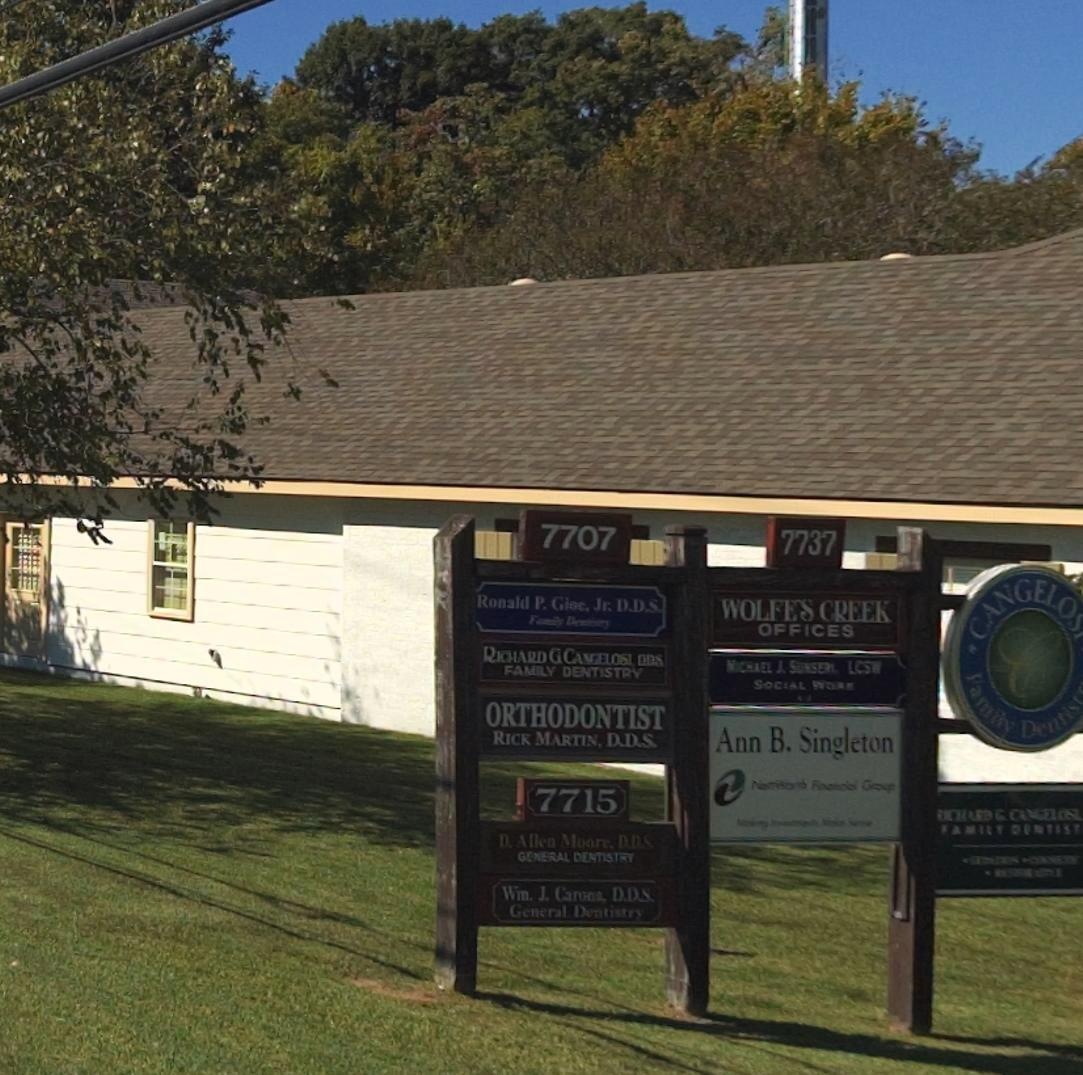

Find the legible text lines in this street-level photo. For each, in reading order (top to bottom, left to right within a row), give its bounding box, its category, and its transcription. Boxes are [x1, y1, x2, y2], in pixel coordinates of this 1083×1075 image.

[537, 520, 623, 554] StreetNumber: 7707
[777, 526, 842, 560] StreetNumber: 7737
[526, 612, 614, 632] BusinessName: Family Dent*****y
[476, 591, 666, 617] BusinessName: Ronald P. Gloe, Jr. D.D.S.
[716, 594, 895, 626] BusinessName: WOLFes CREEk
[756, 620, 856, 641] BusinessName: OFFICES
[963, 573, 1083, 645] BusinessName: CANGELO
[481, 643, 666, 669] BusinessName: RICHARD G CAM*ELOS* DDS
[501, 661, 647, 682] BusinessName: FAMILY DENTISTRY
[723, 656, 884, 677] BusinessName: MI*CHAEL J. SUNSER* LCSM
[751, 676, 857, 692] BusinessName: SOCIAL WORK
[483, 698, 669, 736] BusinessName: ORTHODONTIST
[963, 668, 1082, 745] BusinessName: Family Dentis
[491, 727, 662, 751] BusinessName: RICK MARTIN D.D.S.
[712, 722, 897, 764] BusinessName: Ann B. Singleton
[535, 785, 622, 817] StreetNumber: 7715
[945, 805, 1083, 824] BusinessName: ICHARD & CAMELOSE
[497, 831, 647, 851] BusinessName: D. Allen Moore, DDS
[938, 820, 1081, 839] BusinessName: FAMILY DENTIST
[513, 848, 638, 865] BusinessName: GENERAL DENTISTRY
[501, 882, 656, 904] BusinessName: Win J. Carona D.D.S.
[508, 899, 647, 925] BusinessName: General Dentistry